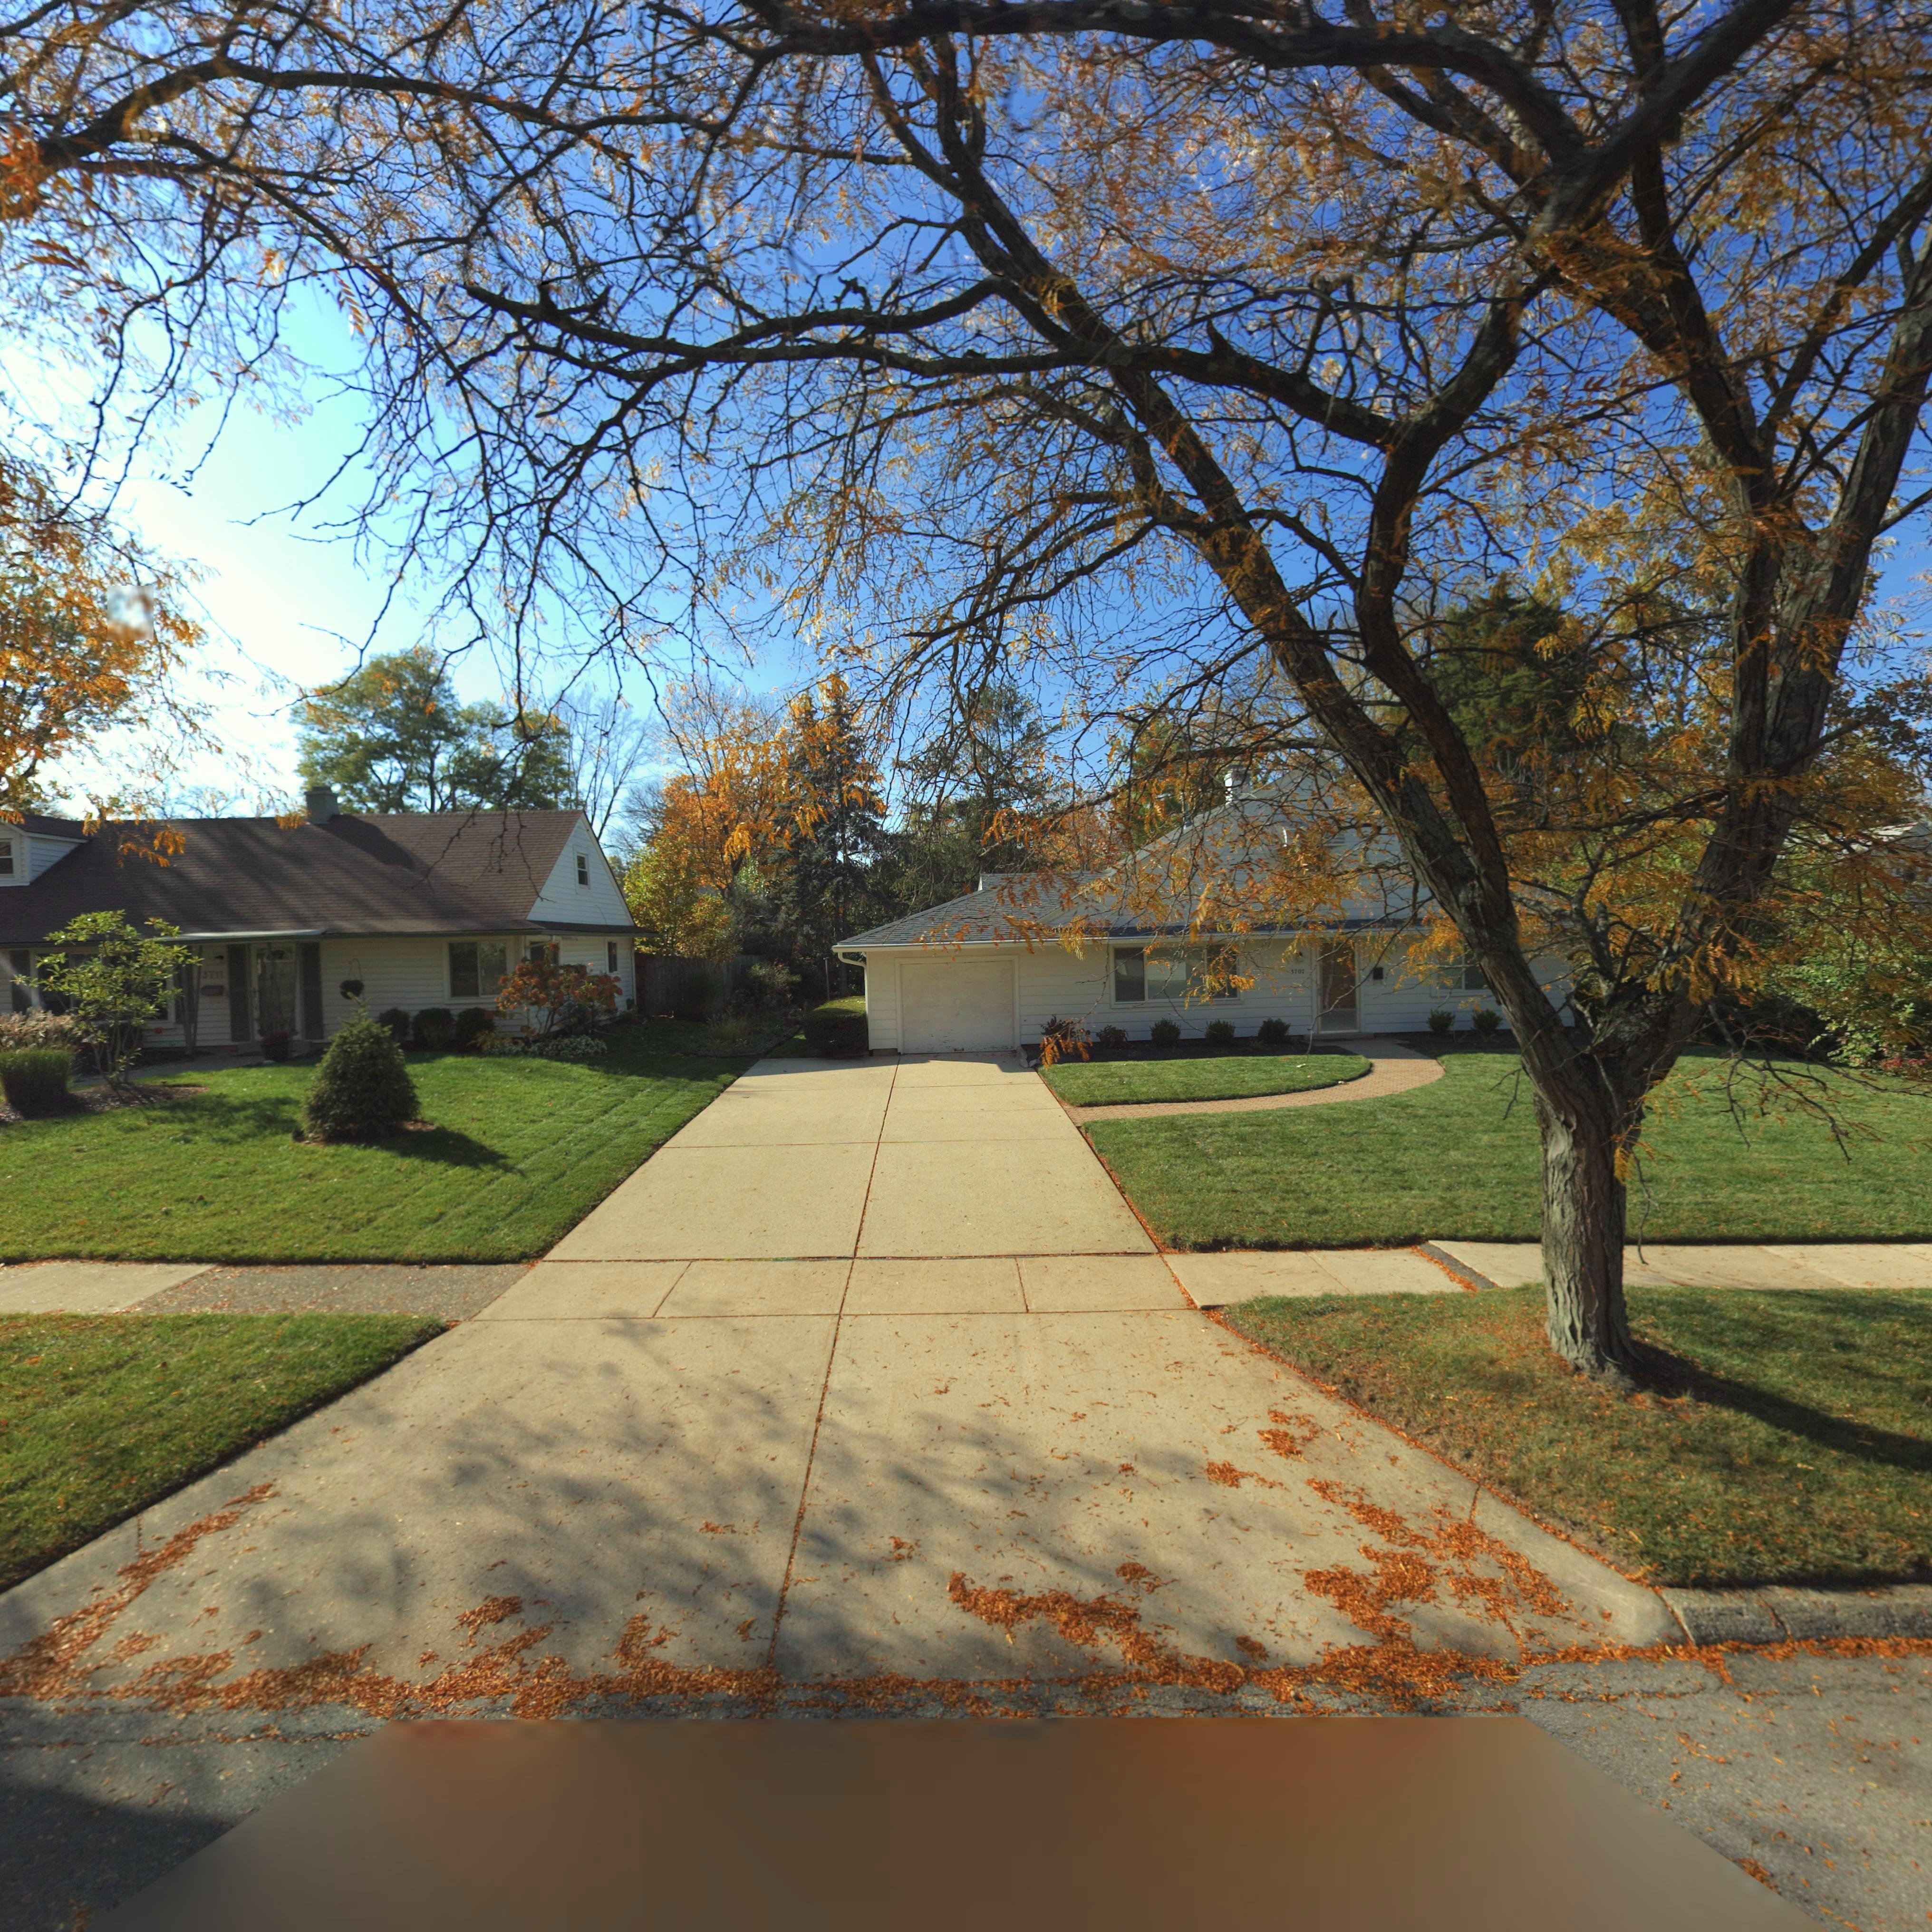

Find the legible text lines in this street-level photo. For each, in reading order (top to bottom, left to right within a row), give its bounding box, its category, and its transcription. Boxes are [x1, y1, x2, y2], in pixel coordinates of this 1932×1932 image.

[200, 970, 224, 979] StreetNumber: 3711
[1290, 969, 1305, 975] StreetNumber: 3707